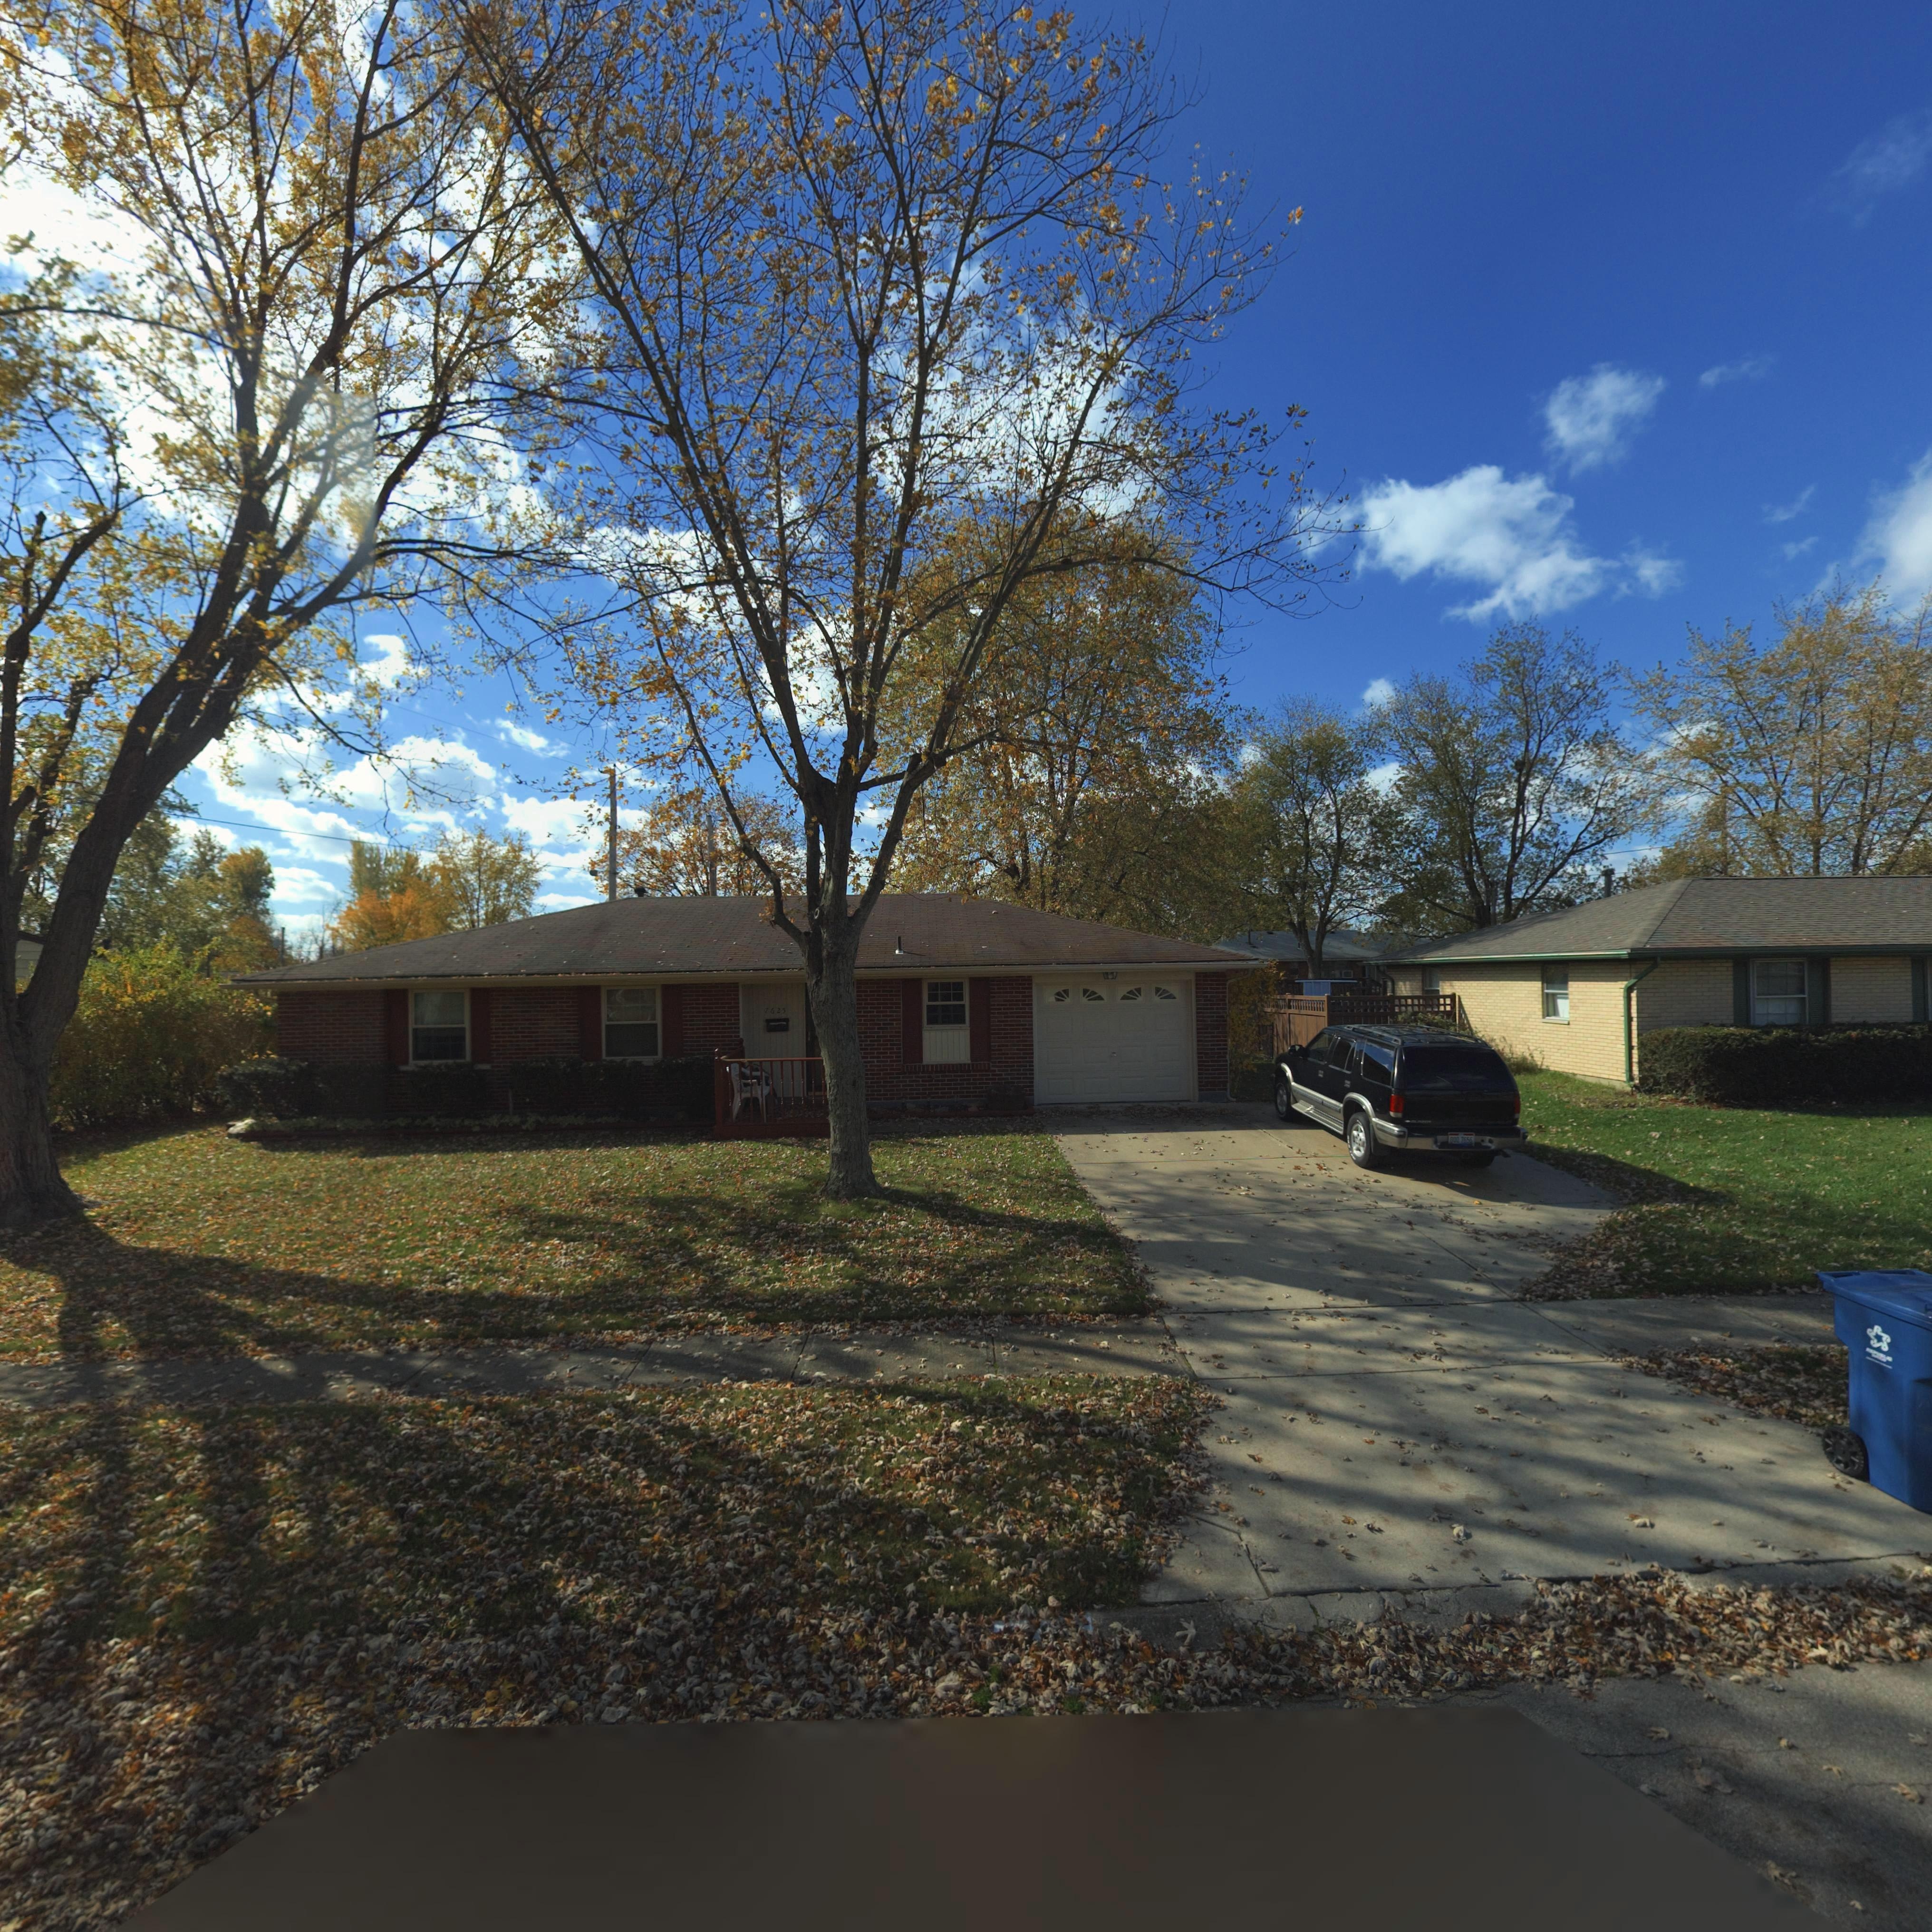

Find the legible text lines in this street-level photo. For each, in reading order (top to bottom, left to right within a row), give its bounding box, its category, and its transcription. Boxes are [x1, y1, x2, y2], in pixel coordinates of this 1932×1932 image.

[764, 1006, 787, 1015] StreetNumber: 7625